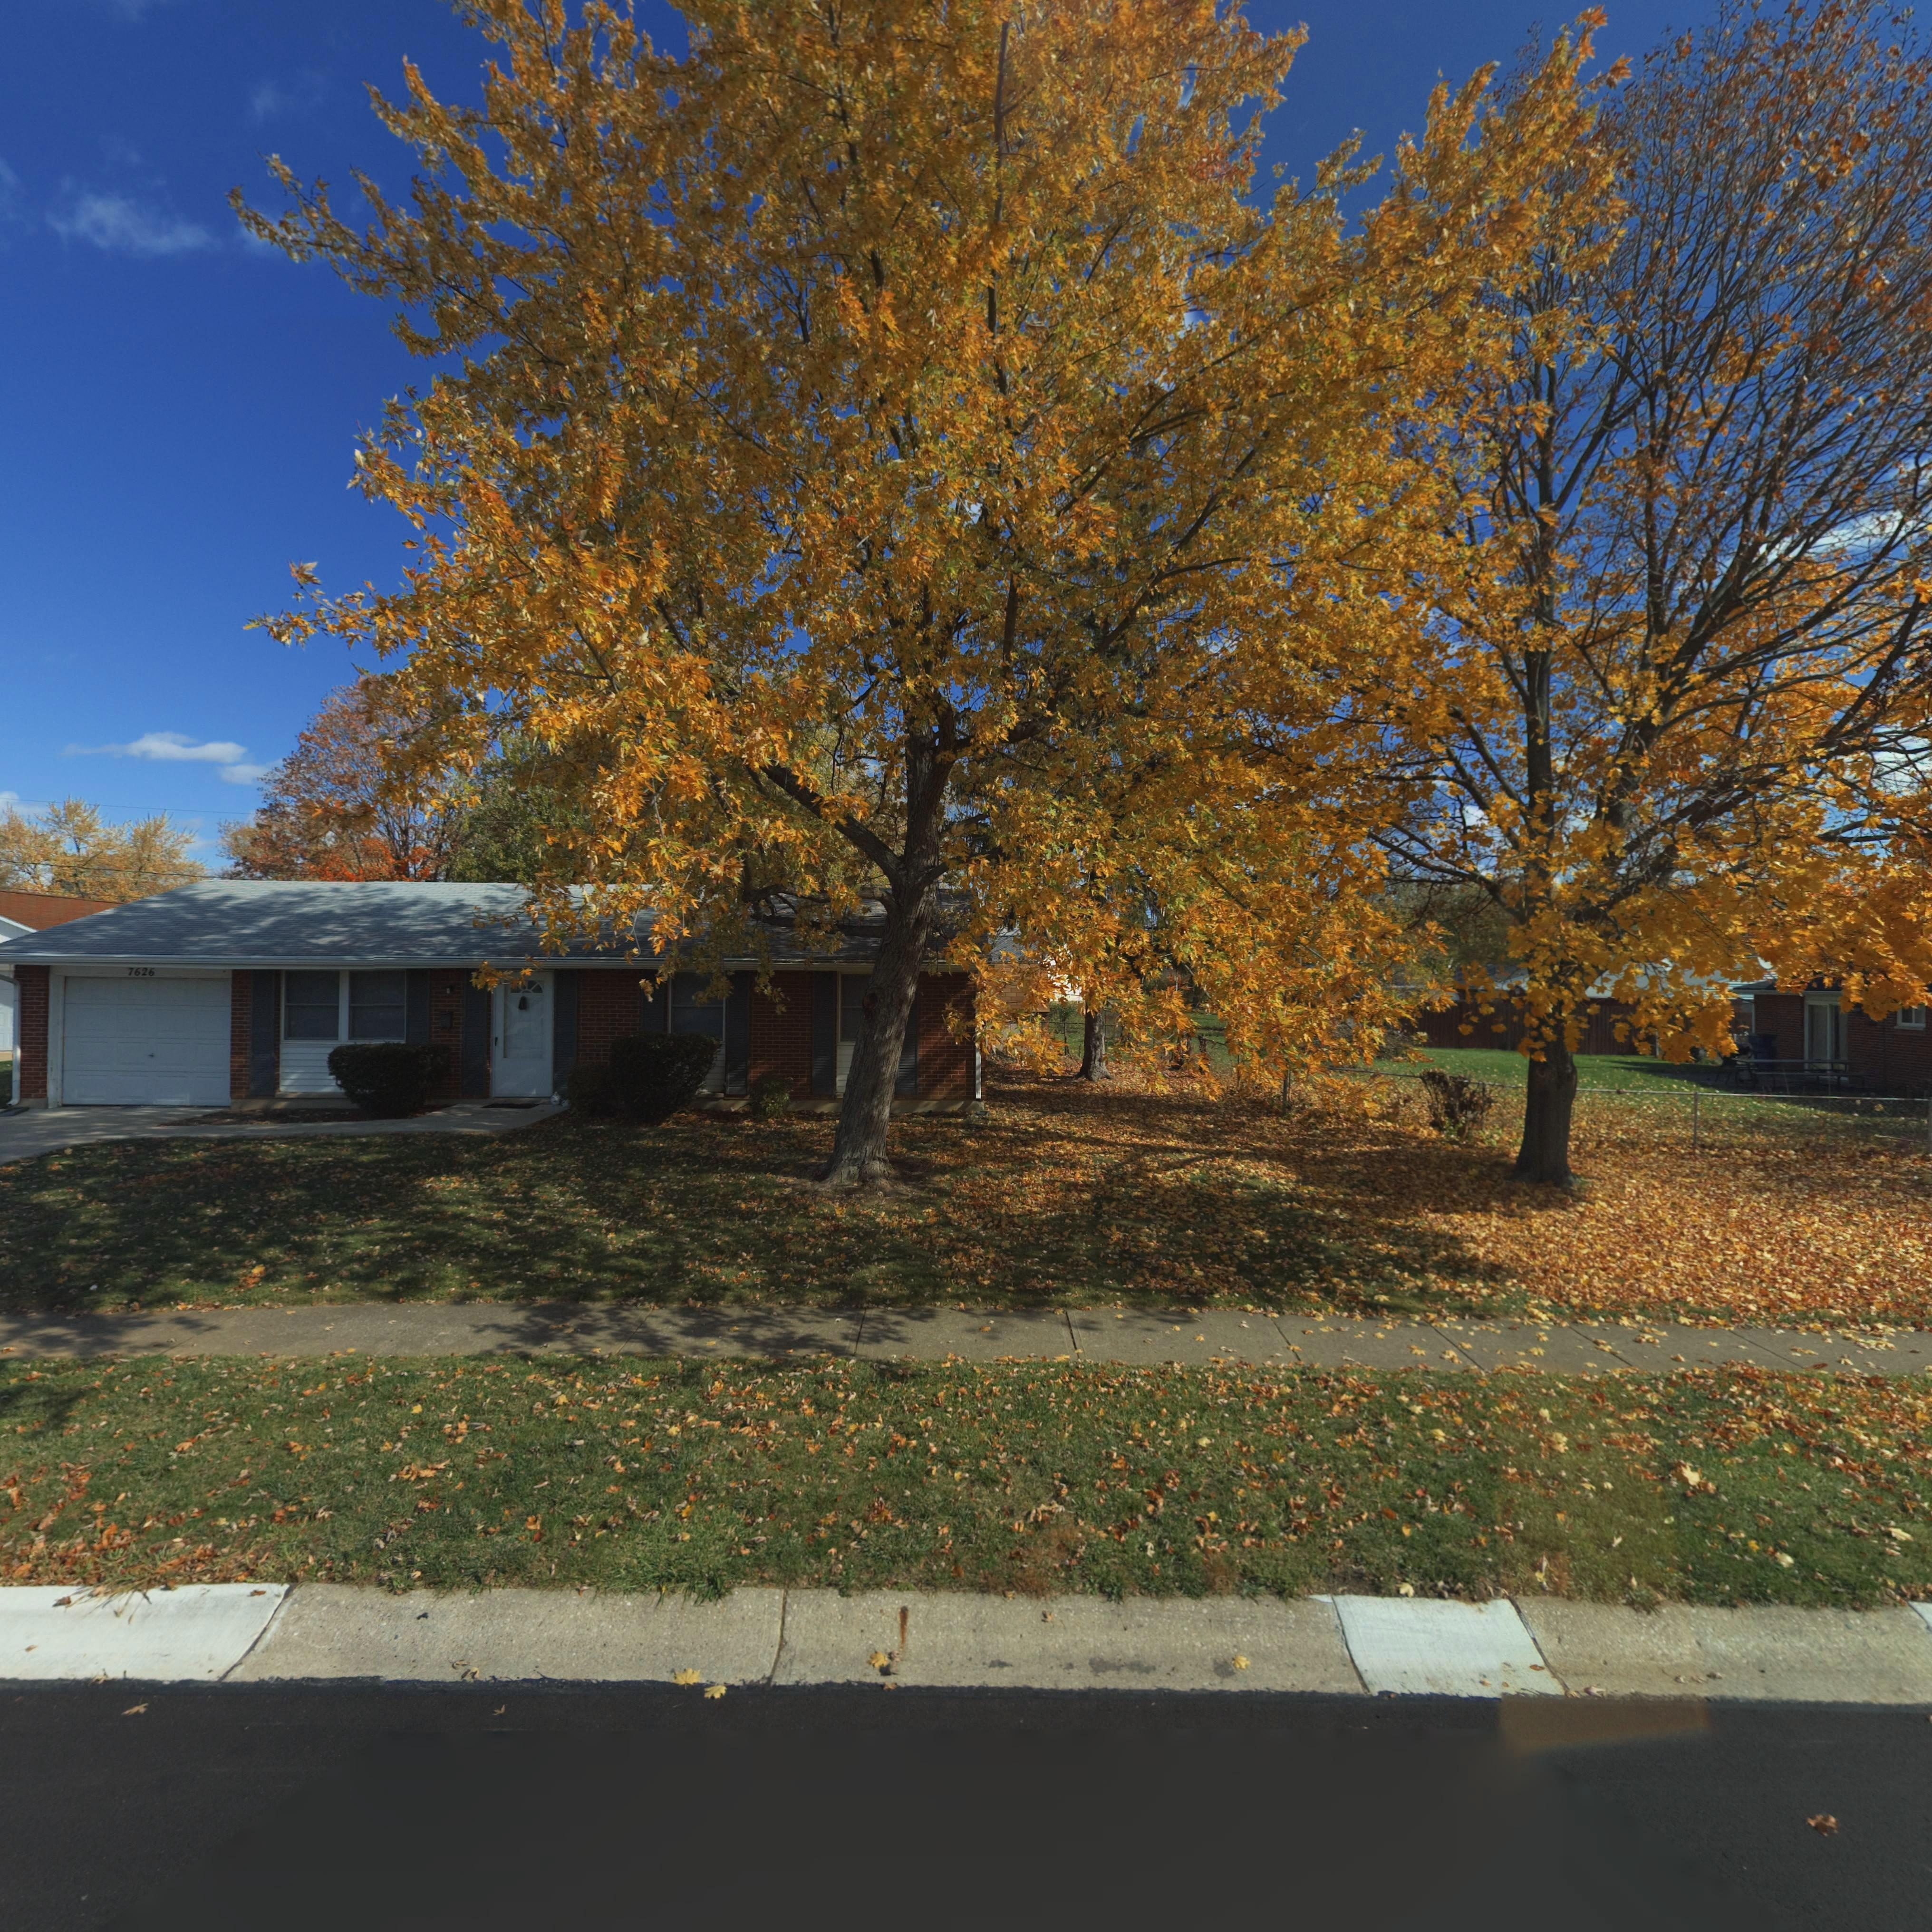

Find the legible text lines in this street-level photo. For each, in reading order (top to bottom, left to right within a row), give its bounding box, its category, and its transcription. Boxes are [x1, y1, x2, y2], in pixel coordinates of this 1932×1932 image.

[127, 967, 156, 977] StreetNumber: 7626